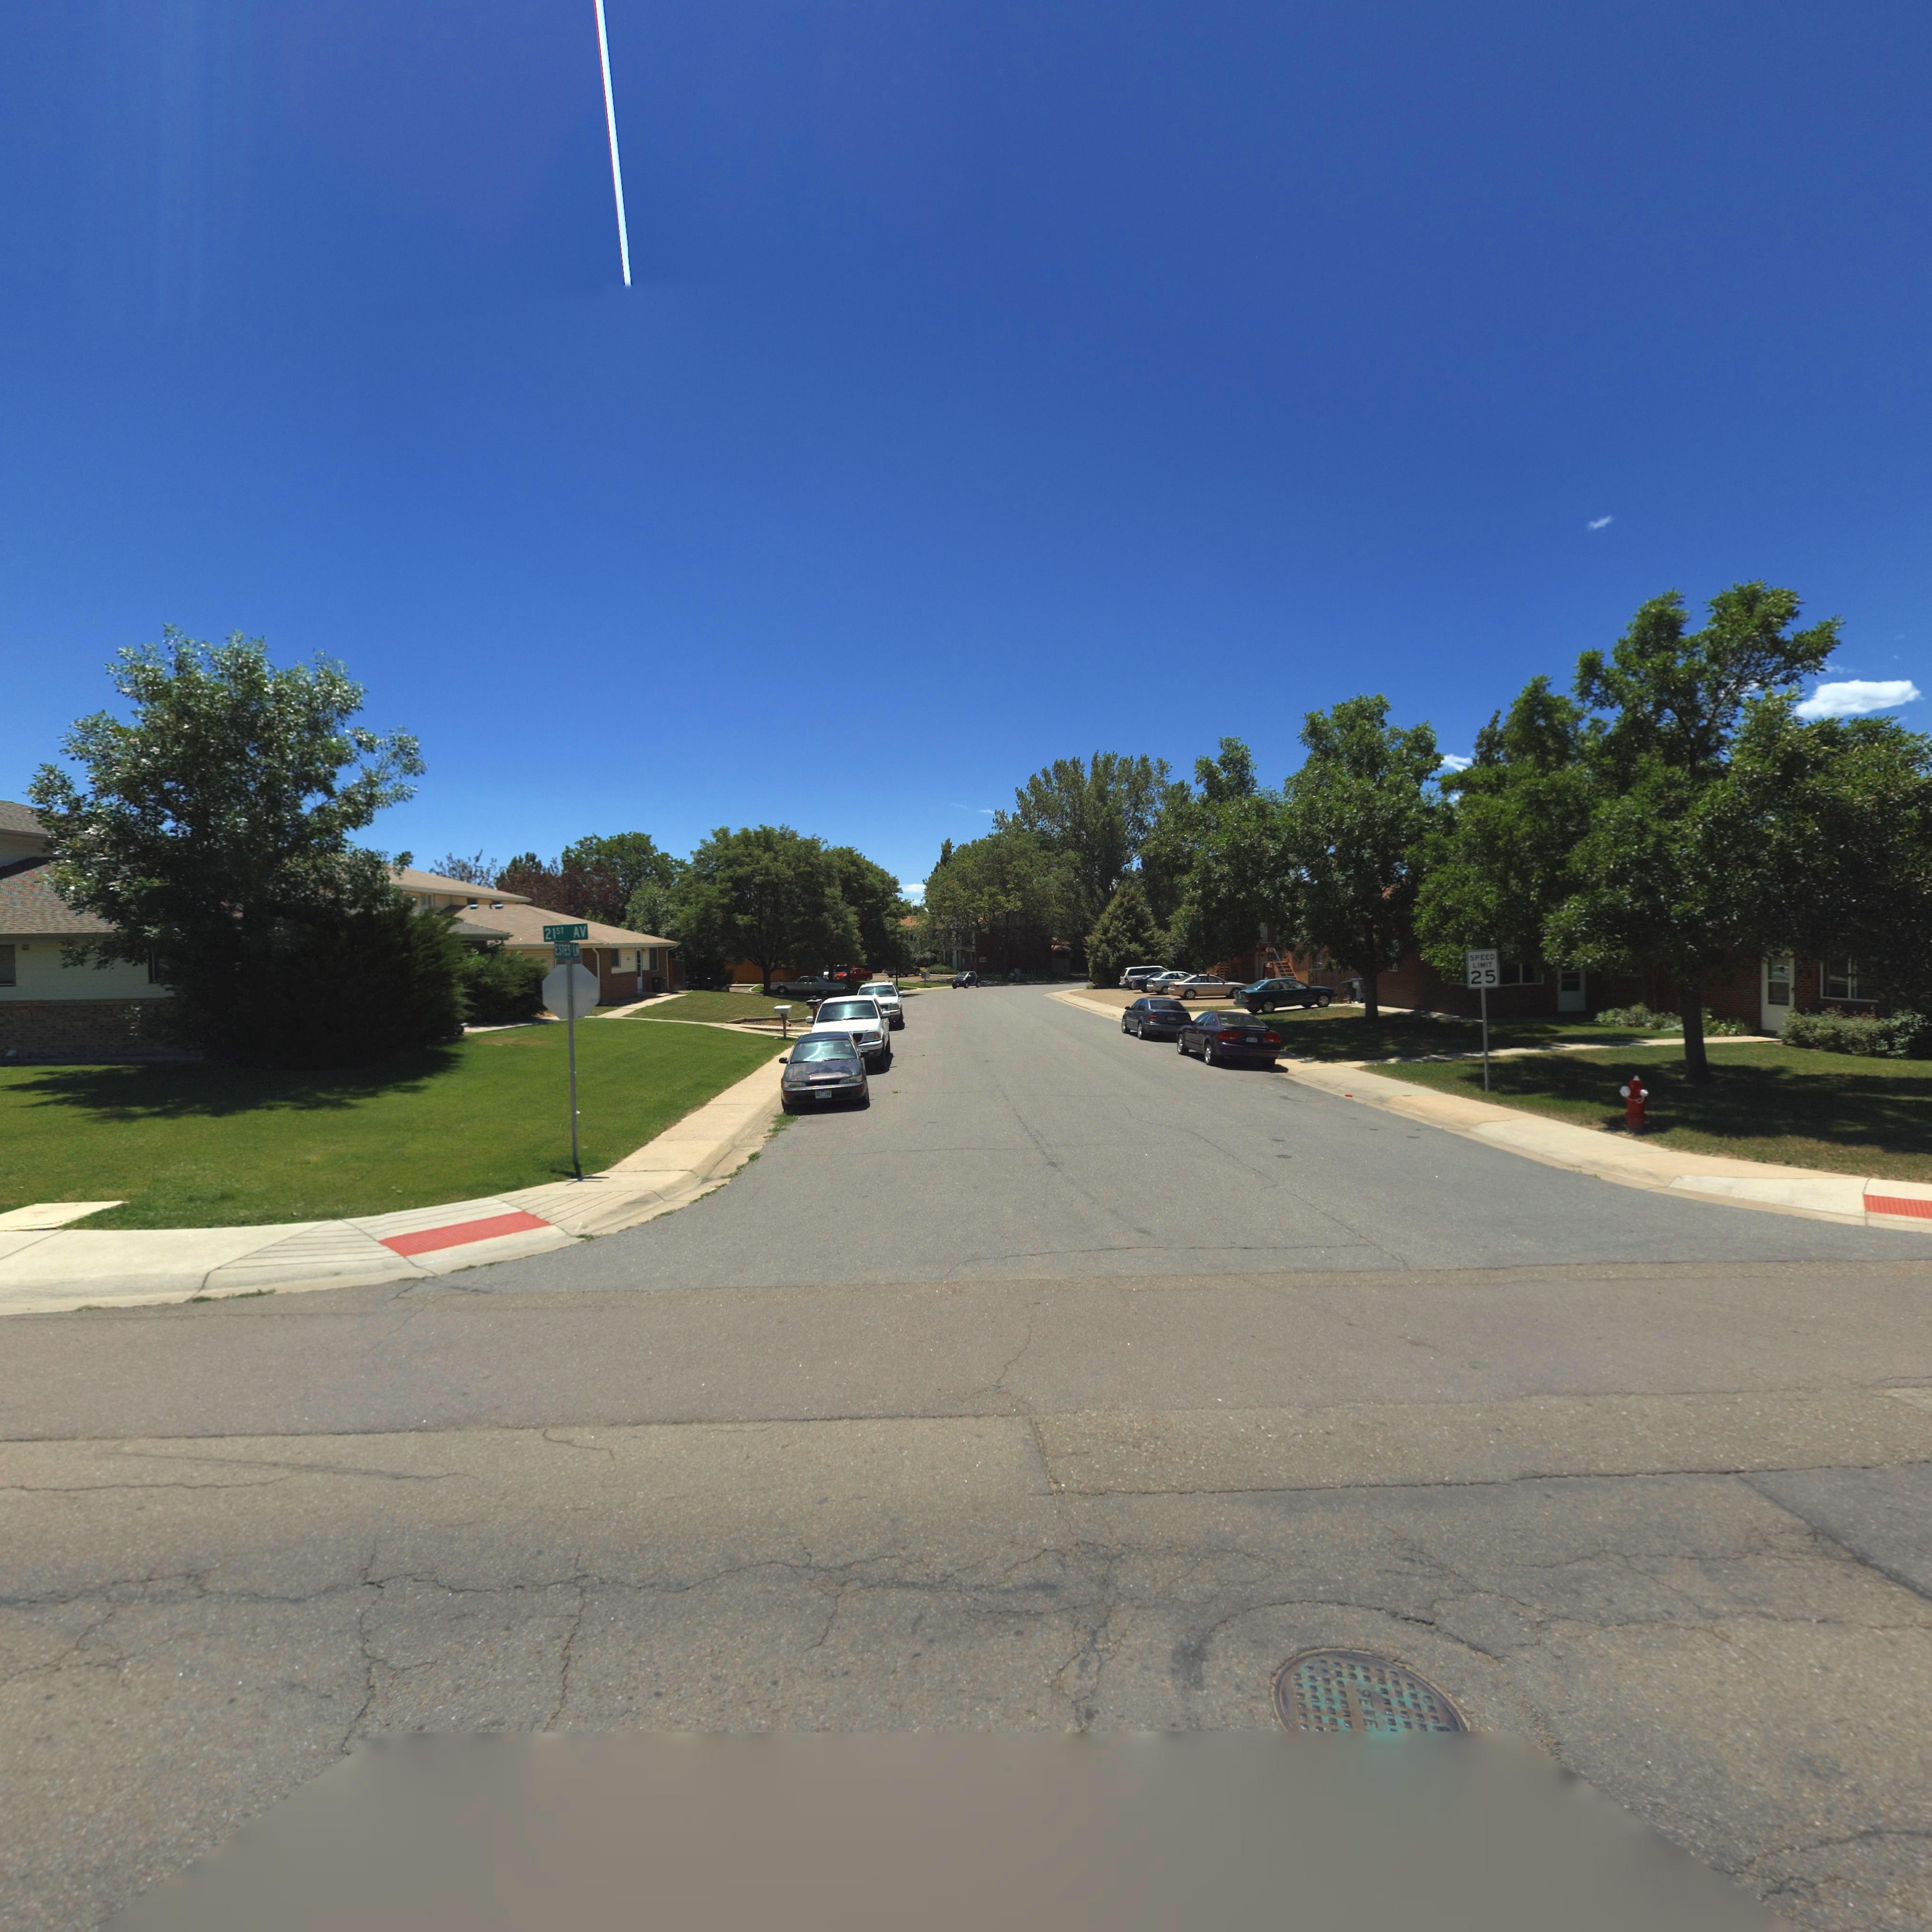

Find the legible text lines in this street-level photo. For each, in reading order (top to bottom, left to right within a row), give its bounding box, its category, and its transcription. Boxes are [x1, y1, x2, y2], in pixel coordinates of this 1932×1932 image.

[544, 925, 586, 940] StreetName: 21ST AV
[554, 944, 579, 956] StreetName: ESTES LN